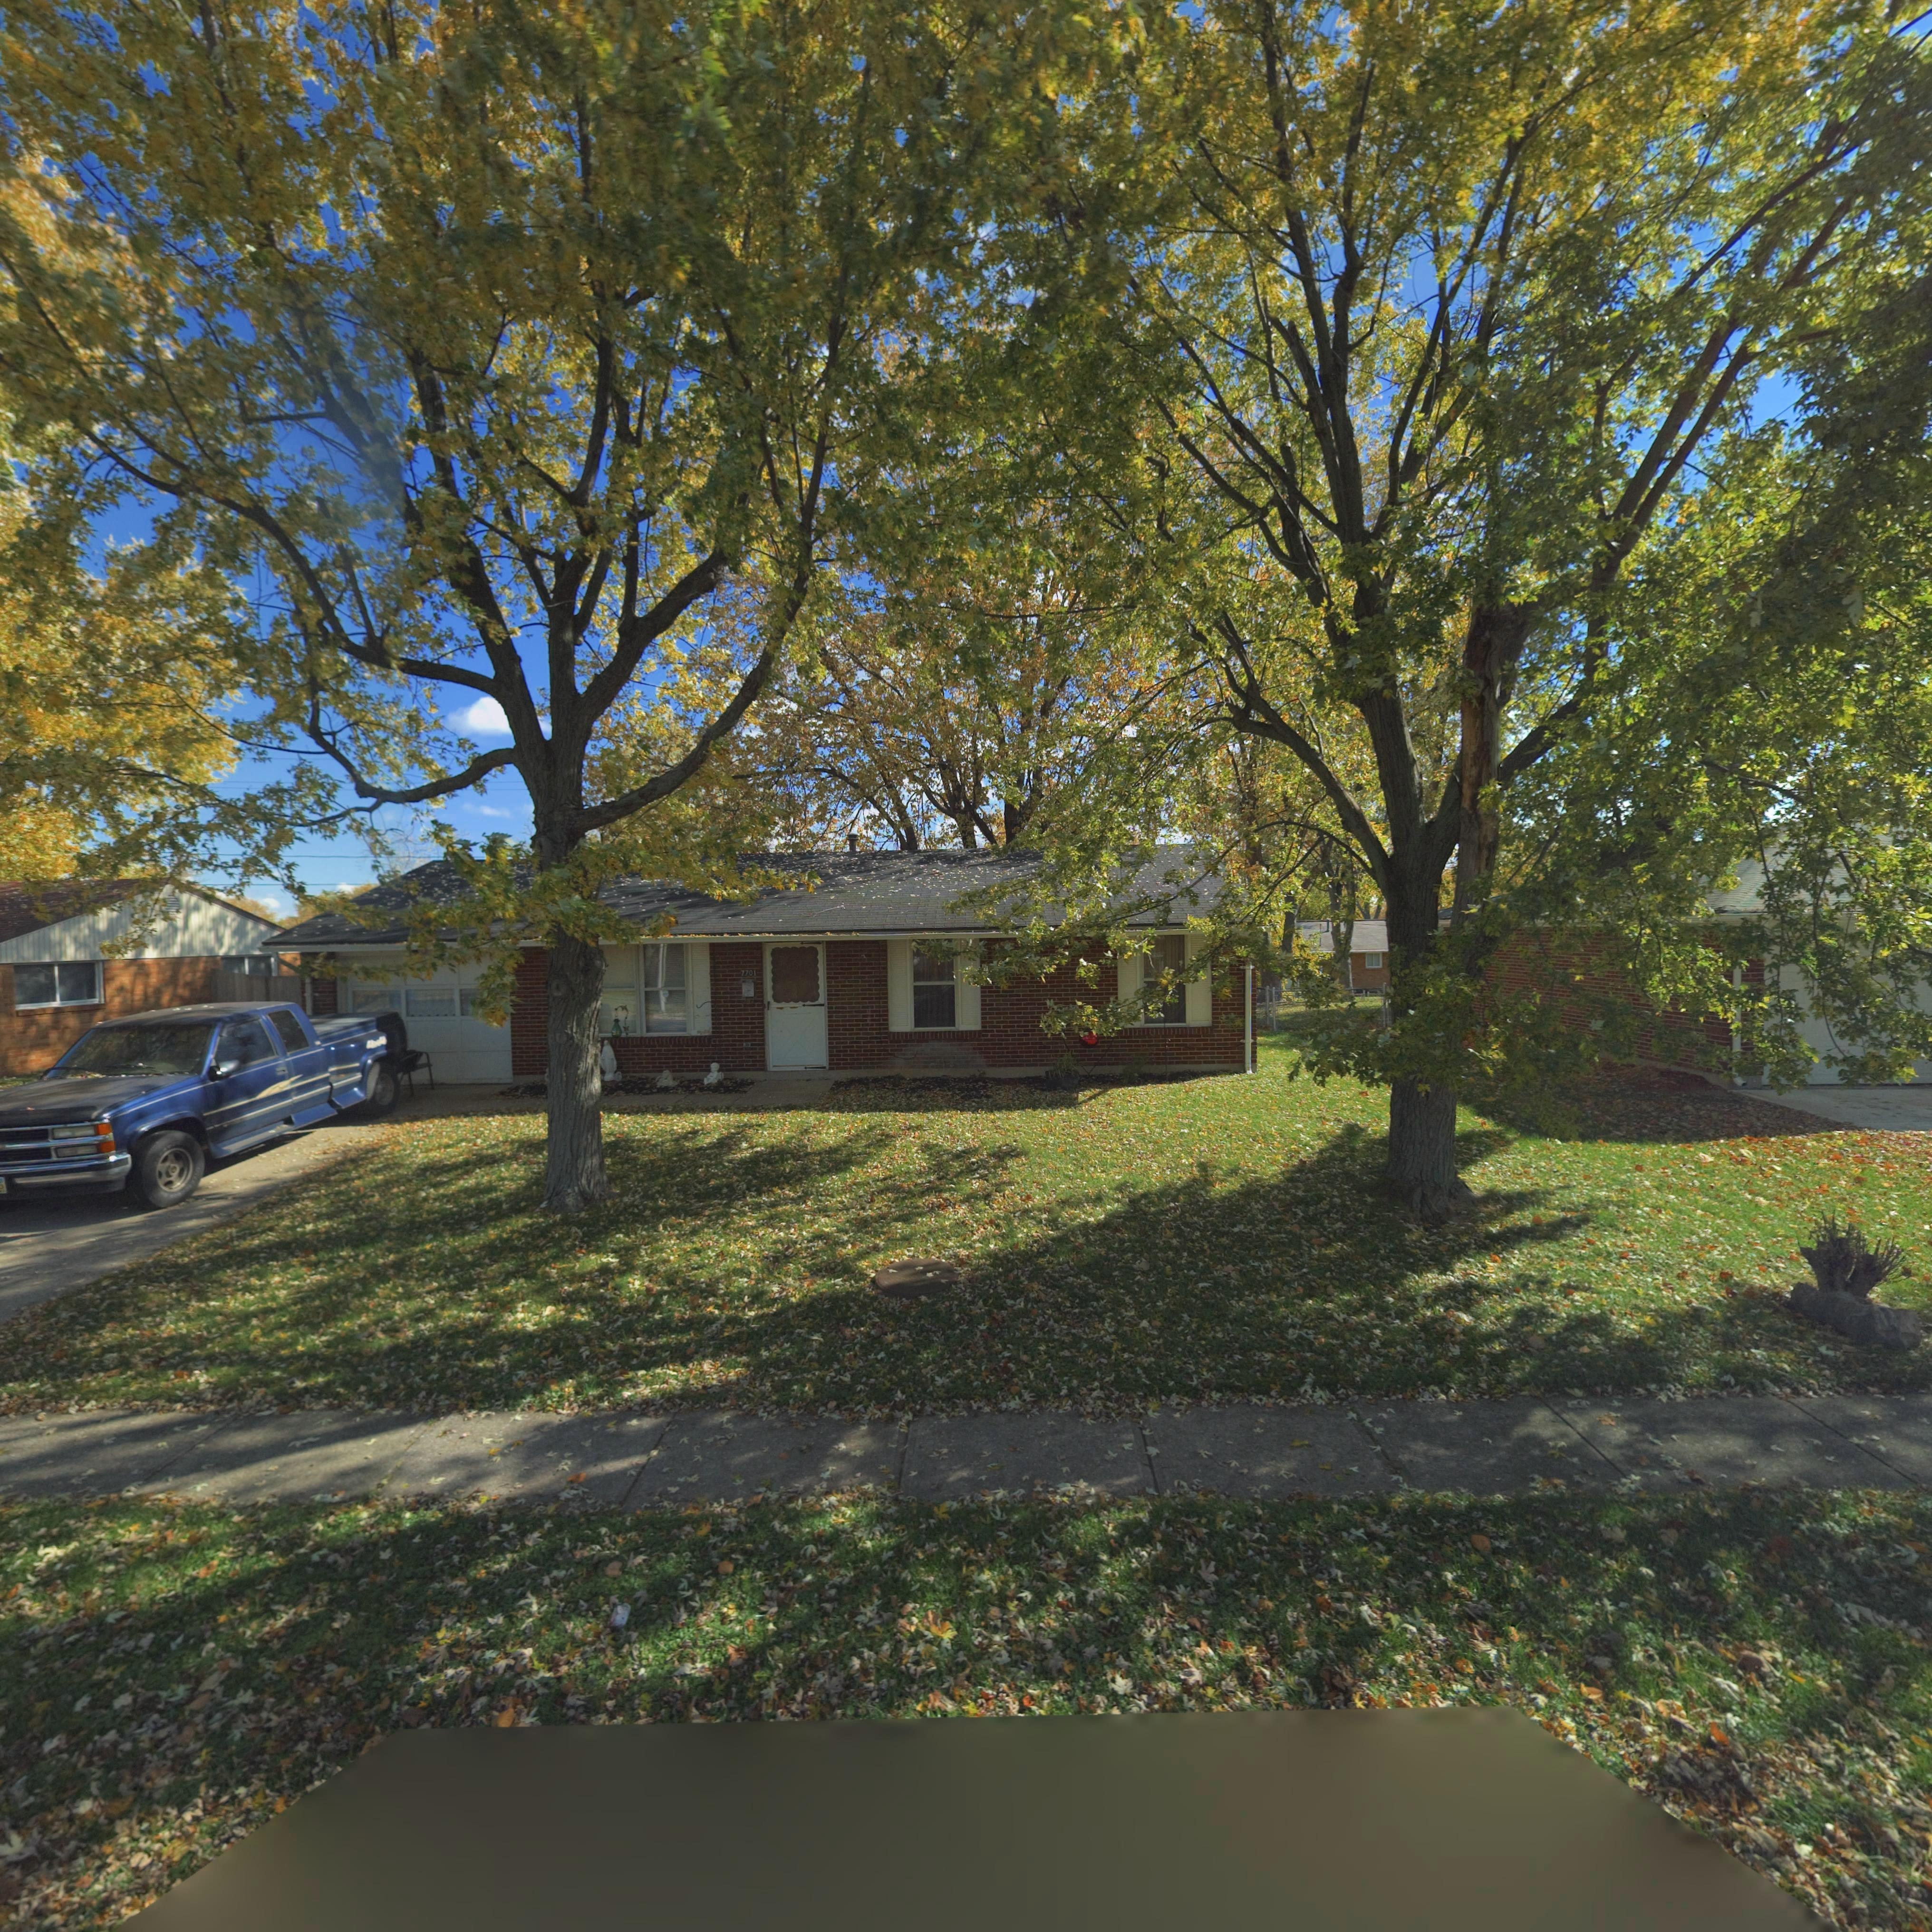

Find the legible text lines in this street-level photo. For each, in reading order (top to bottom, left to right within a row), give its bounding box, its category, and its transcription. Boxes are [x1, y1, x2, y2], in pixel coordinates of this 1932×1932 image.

[739, 969, 757, 977] StreetNumber: 7701